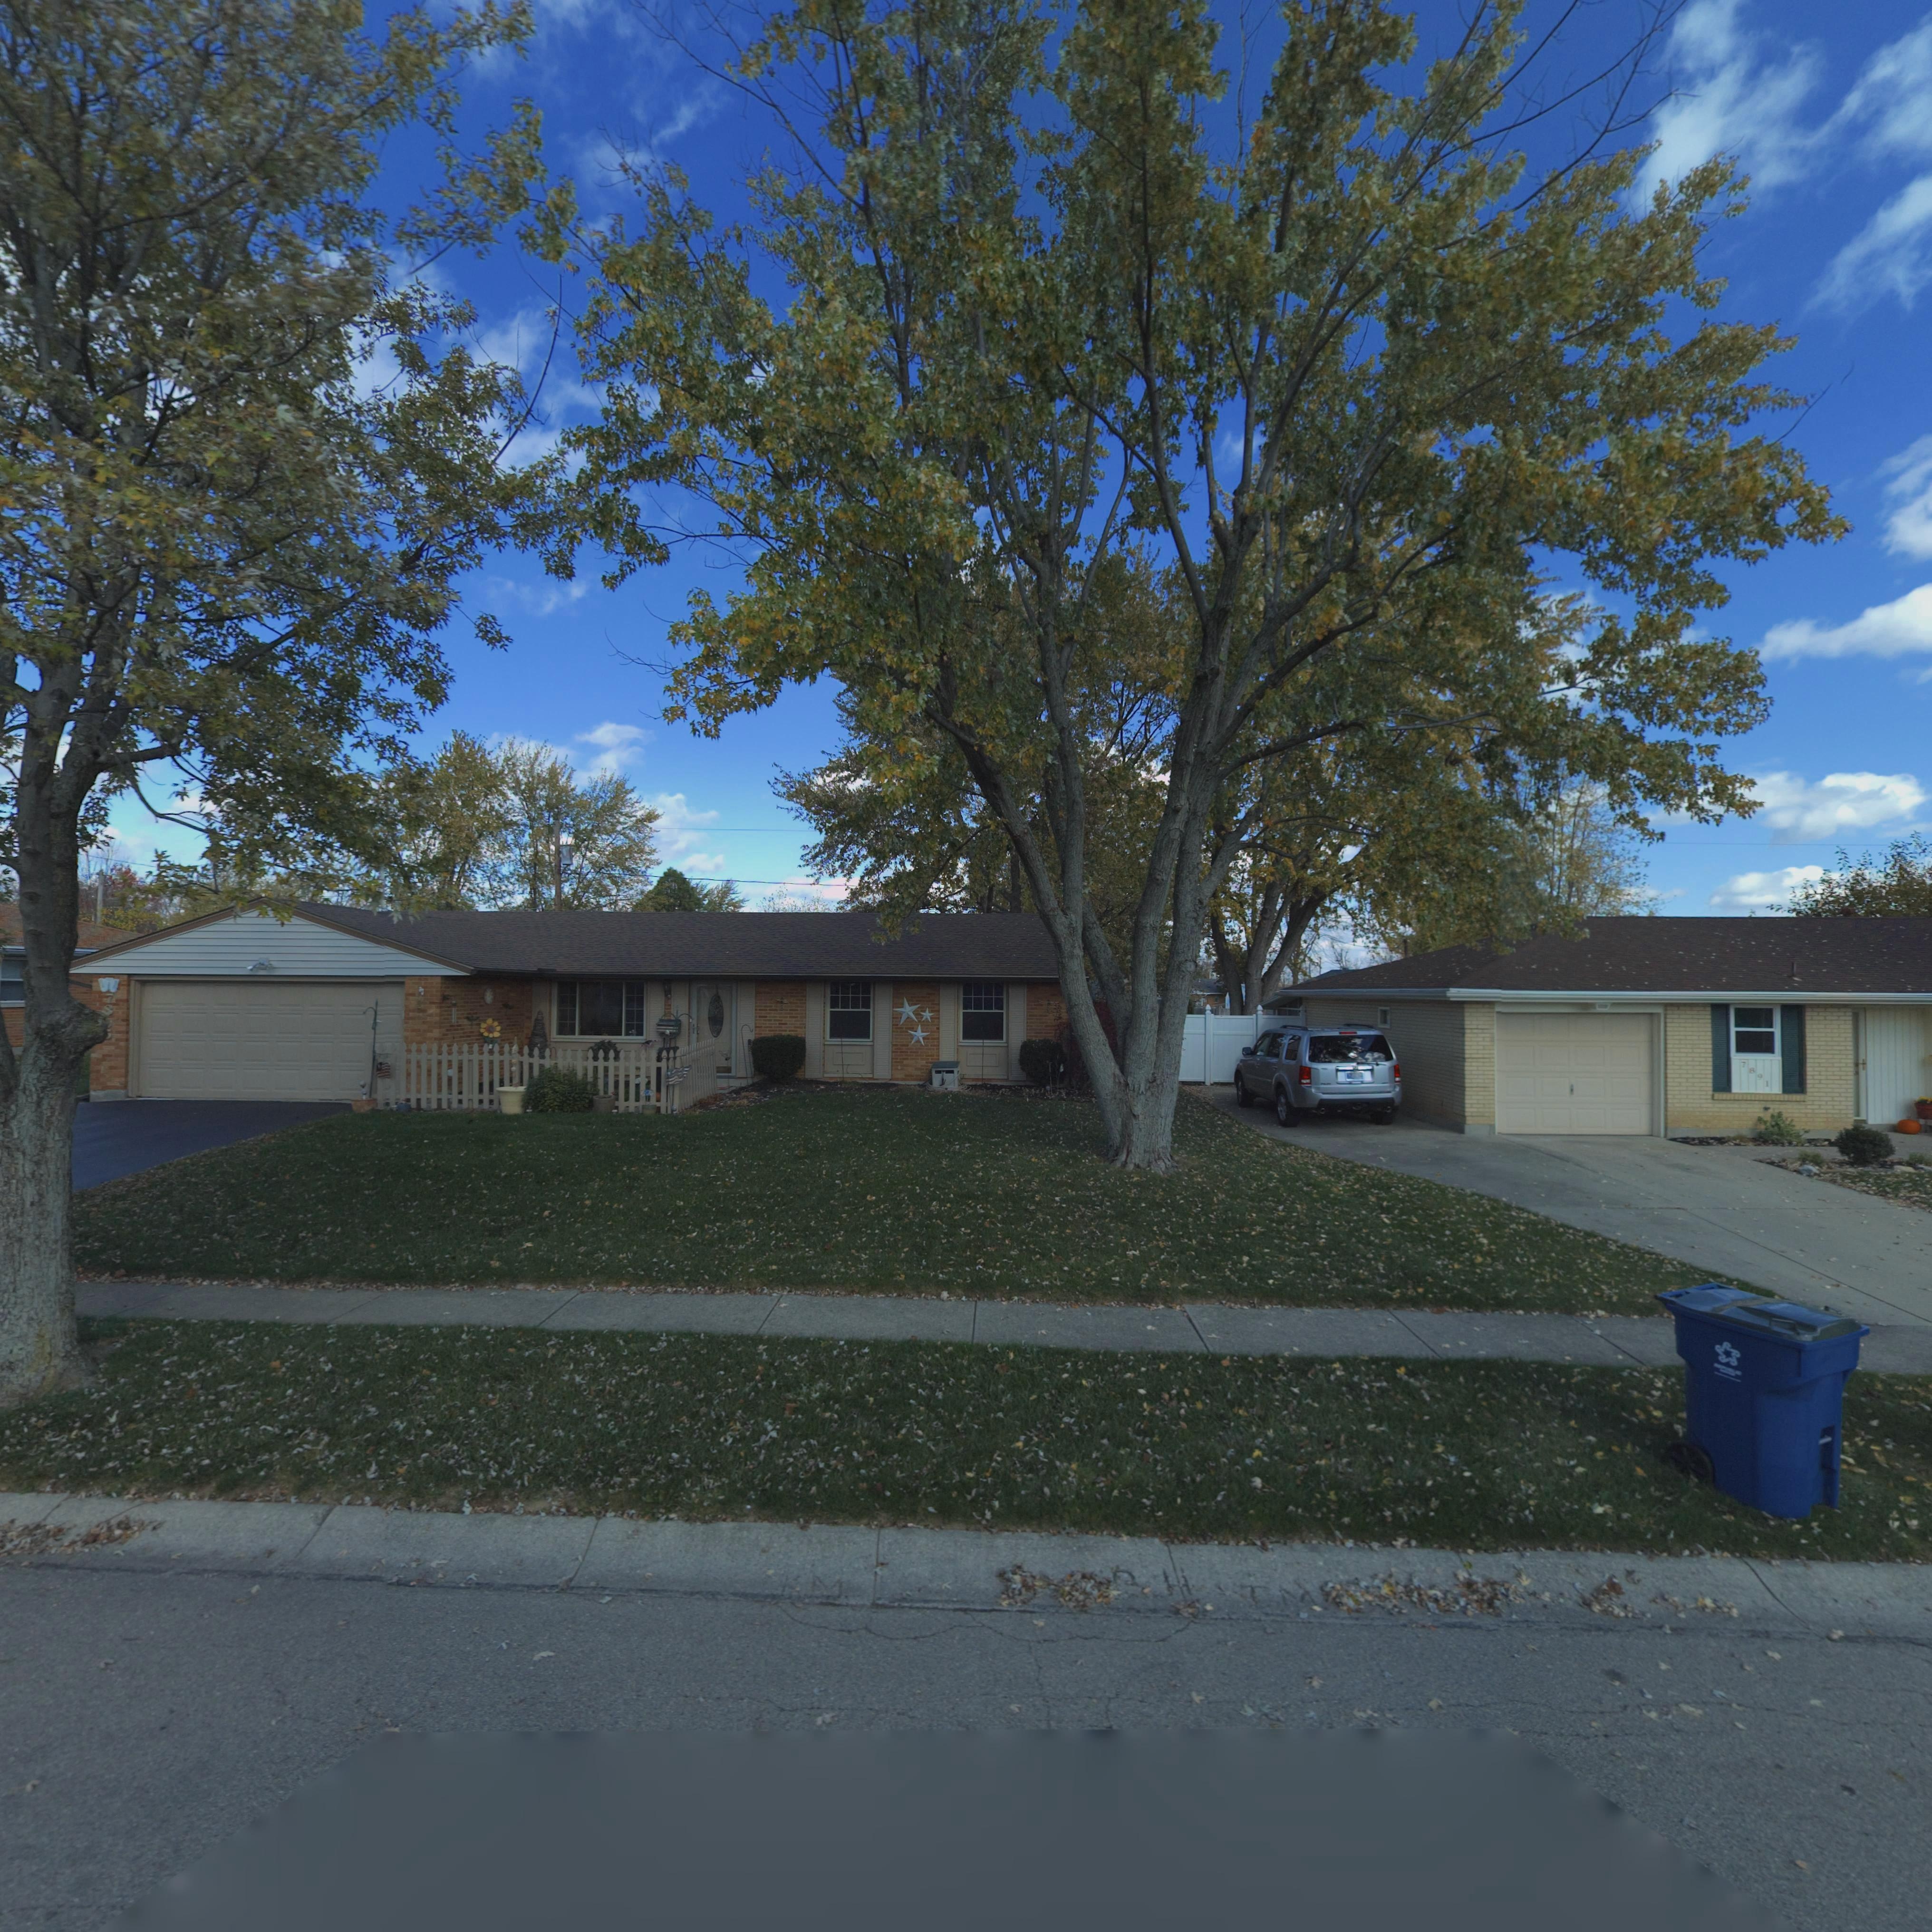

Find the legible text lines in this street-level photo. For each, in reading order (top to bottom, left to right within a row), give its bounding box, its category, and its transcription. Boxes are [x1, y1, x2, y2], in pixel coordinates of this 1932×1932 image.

[102, 993, 115, 1016] StreetNumber: 78
[1740, 1061, 1770, 1088] StreetNumber: 7891